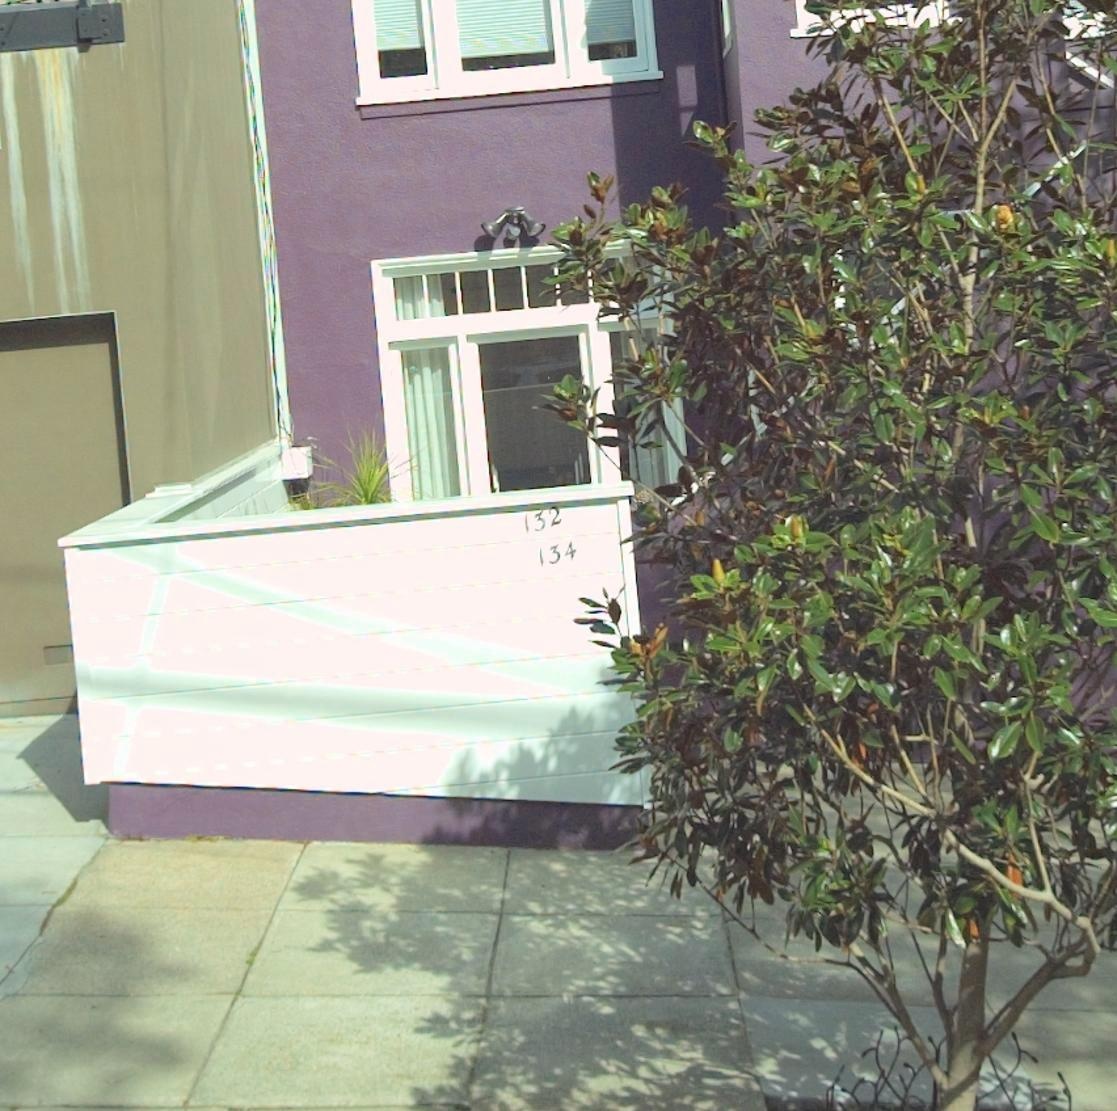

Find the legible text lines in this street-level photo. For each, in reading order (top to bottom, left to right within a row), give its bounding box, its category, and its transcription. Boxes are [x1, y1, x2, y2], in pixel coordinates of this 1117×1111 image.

[520, 505, 564, 536] StreetNumber: 132
[534, 537, 580, 569] StreetNumber: 134